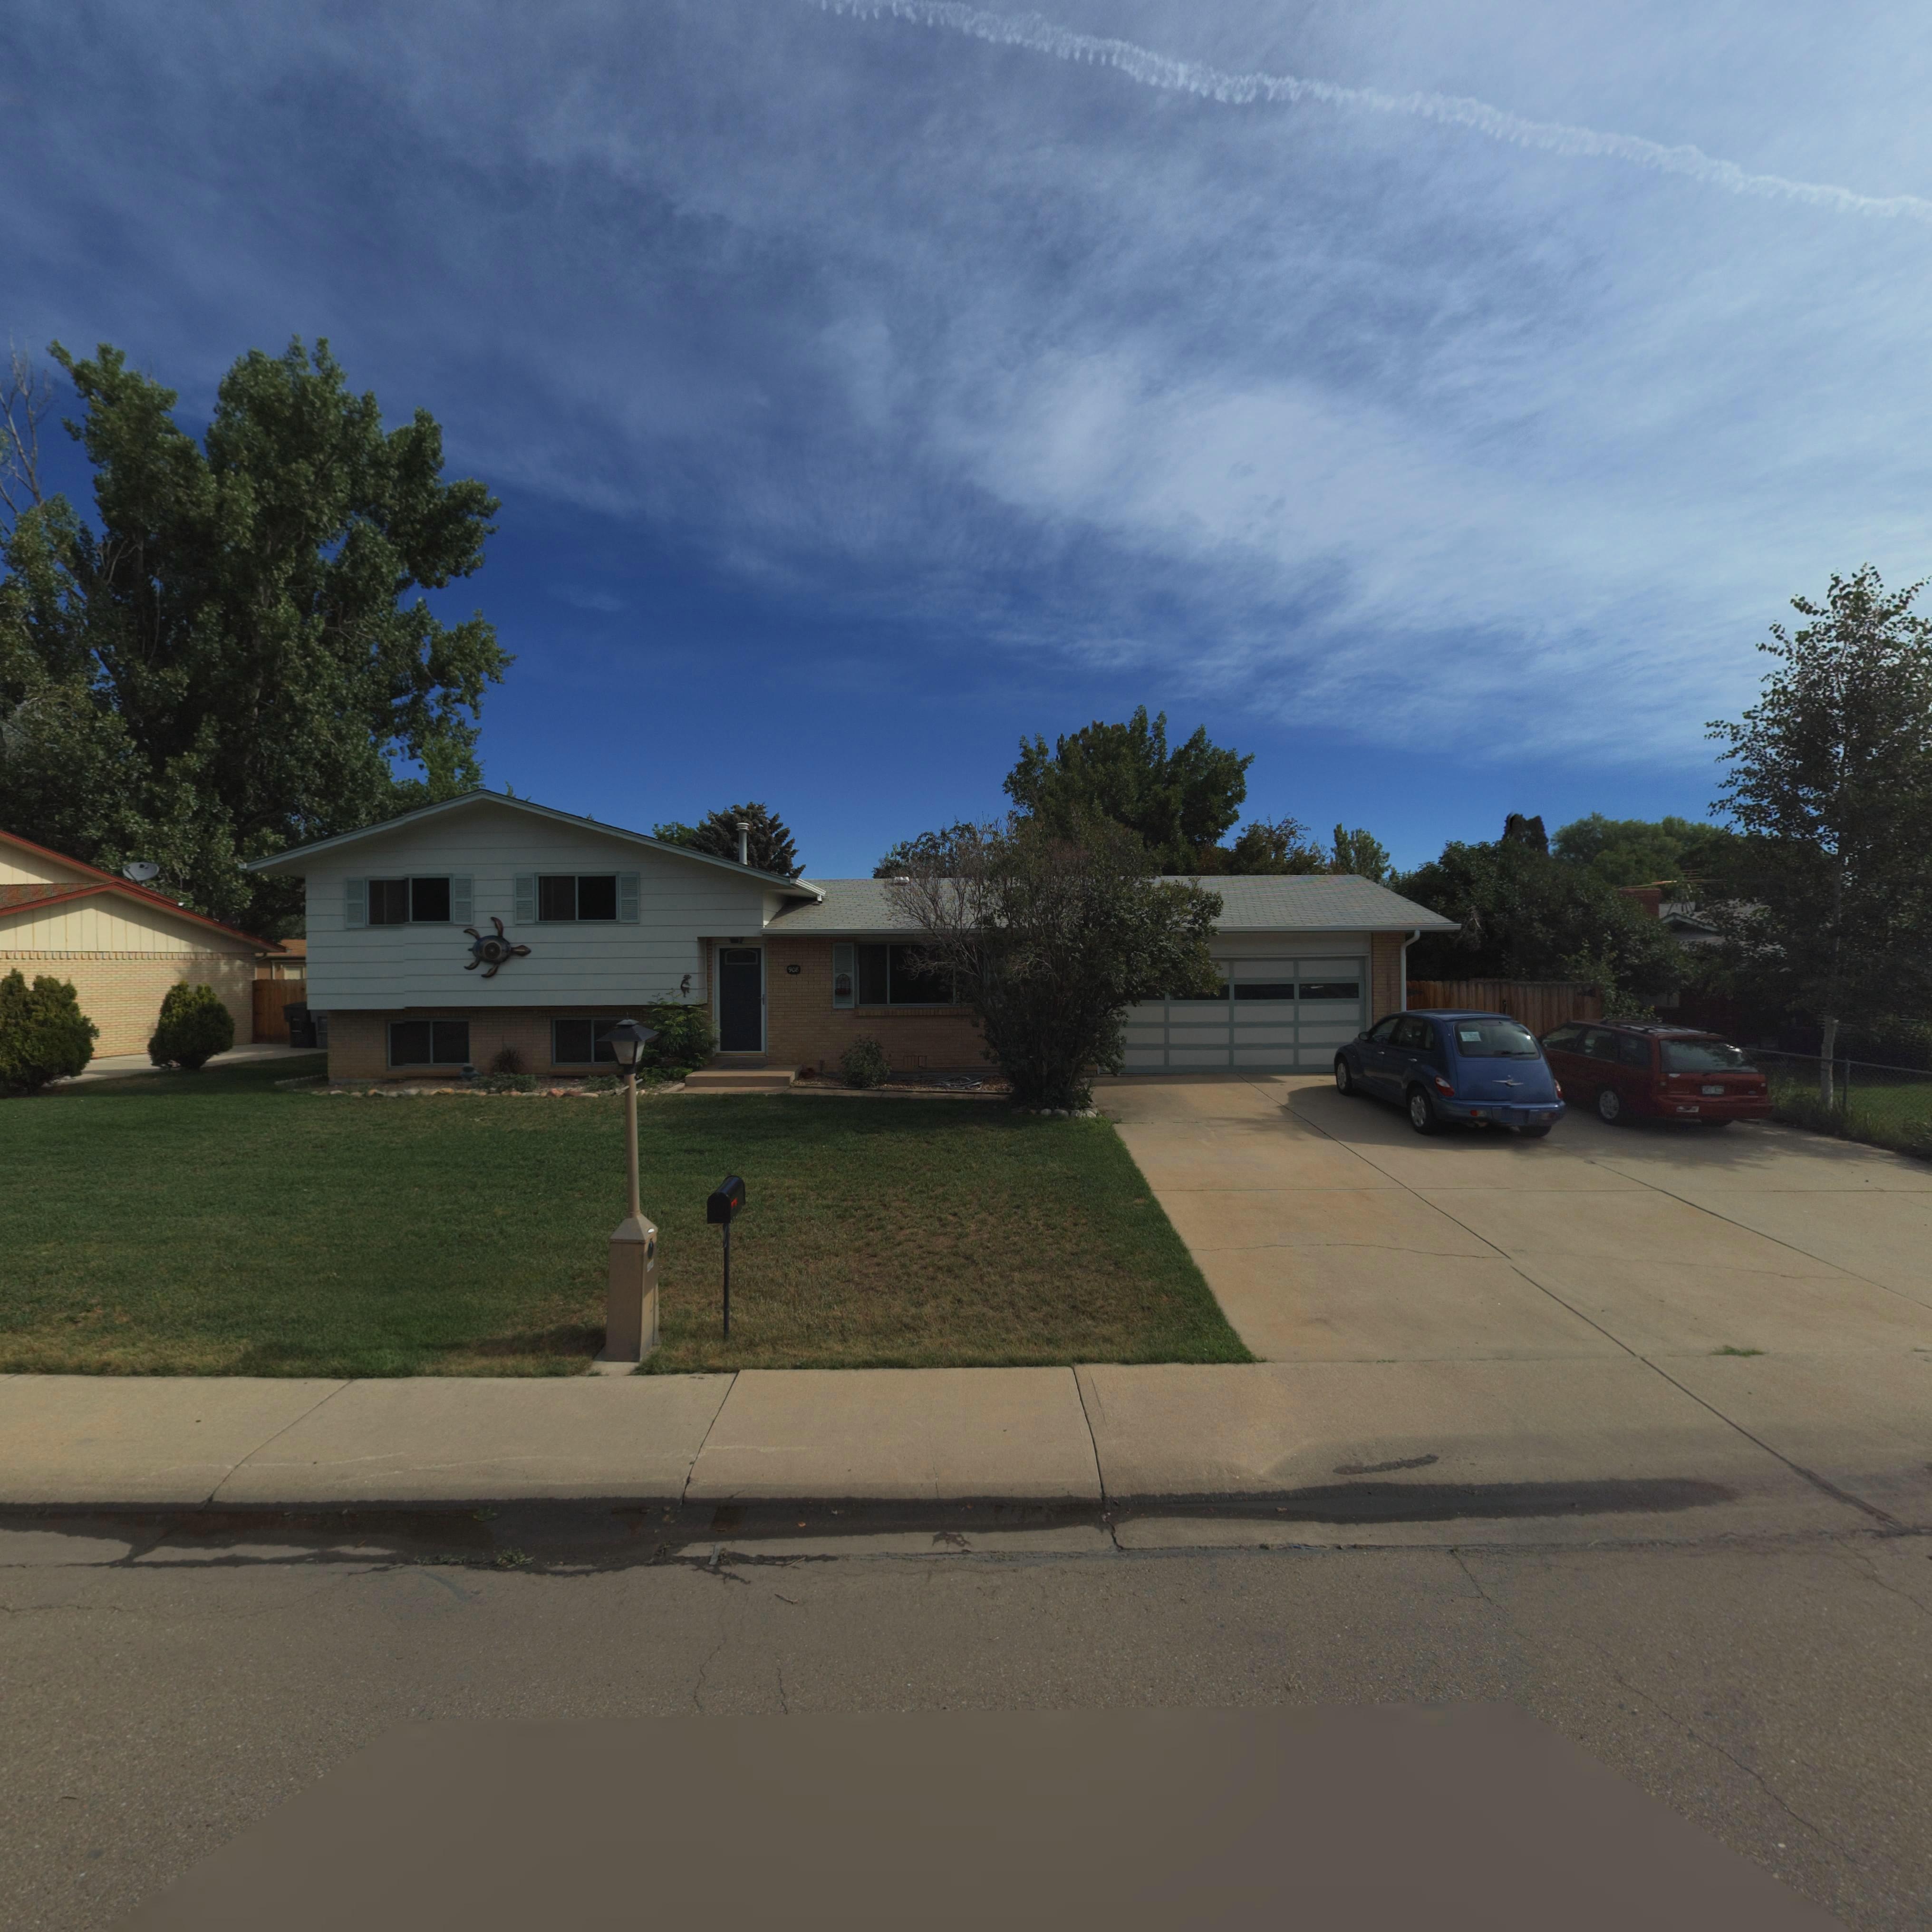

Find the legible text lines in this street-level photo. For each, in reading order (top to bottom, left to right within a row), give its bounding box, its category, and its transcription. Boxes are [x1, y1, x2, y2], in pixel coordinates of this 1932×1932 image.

[788, 966, 799, 973] StreetNumber: 908